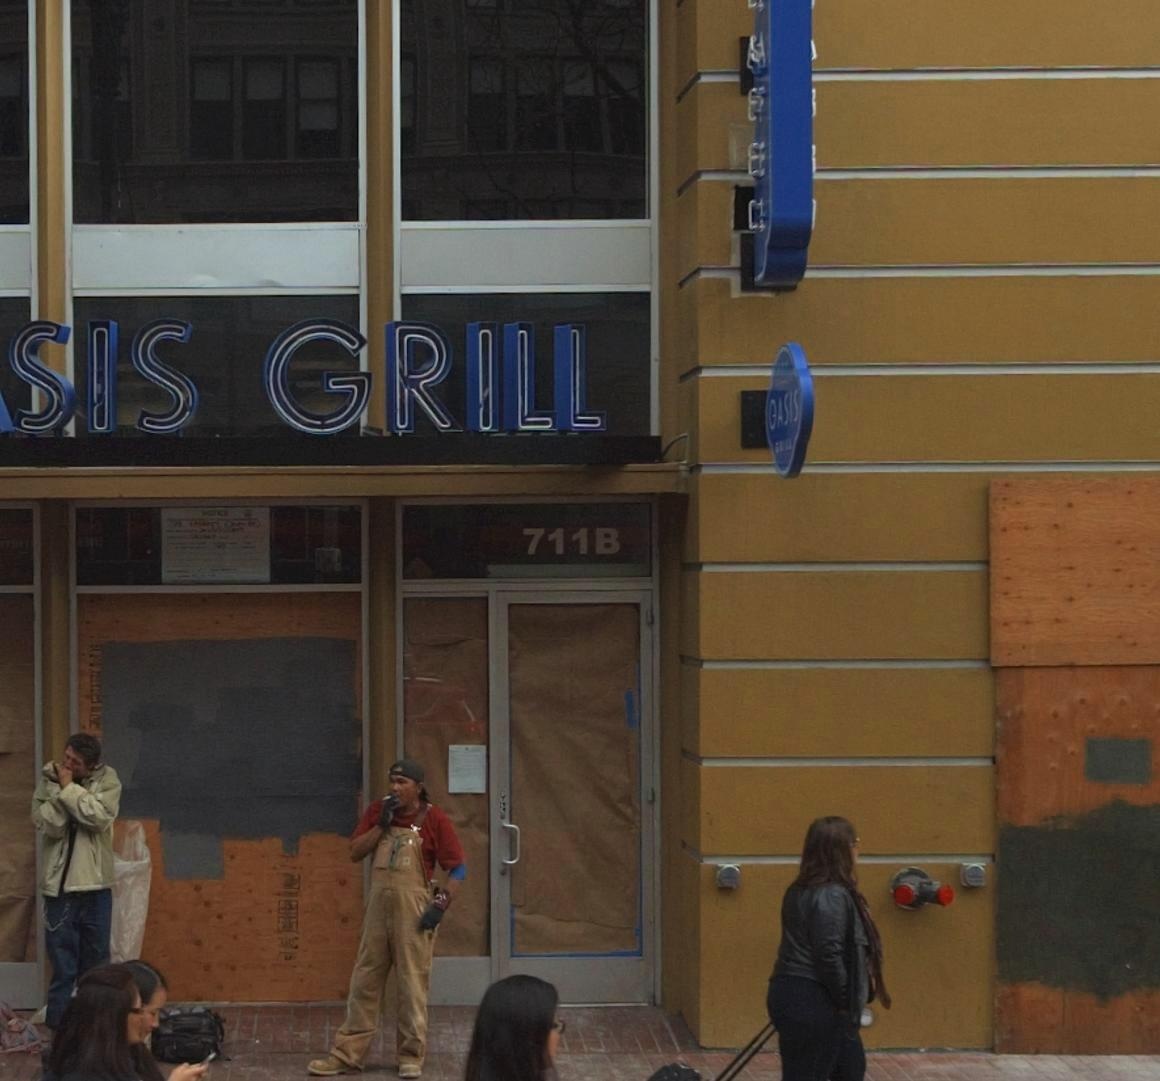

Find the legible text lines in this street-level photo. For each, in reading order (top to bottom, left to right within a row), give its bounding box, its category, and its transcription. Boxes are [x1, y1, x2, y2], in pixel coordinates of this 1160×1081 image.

[6, 317, 610, 438] BusinessName: SIS GRILL
[767, 386, 801, 431] BusinessName: OASIS
[201, 509, 230, 517] None: NOTICE
[520, 525, 621, 556] StreetNumber: 711B